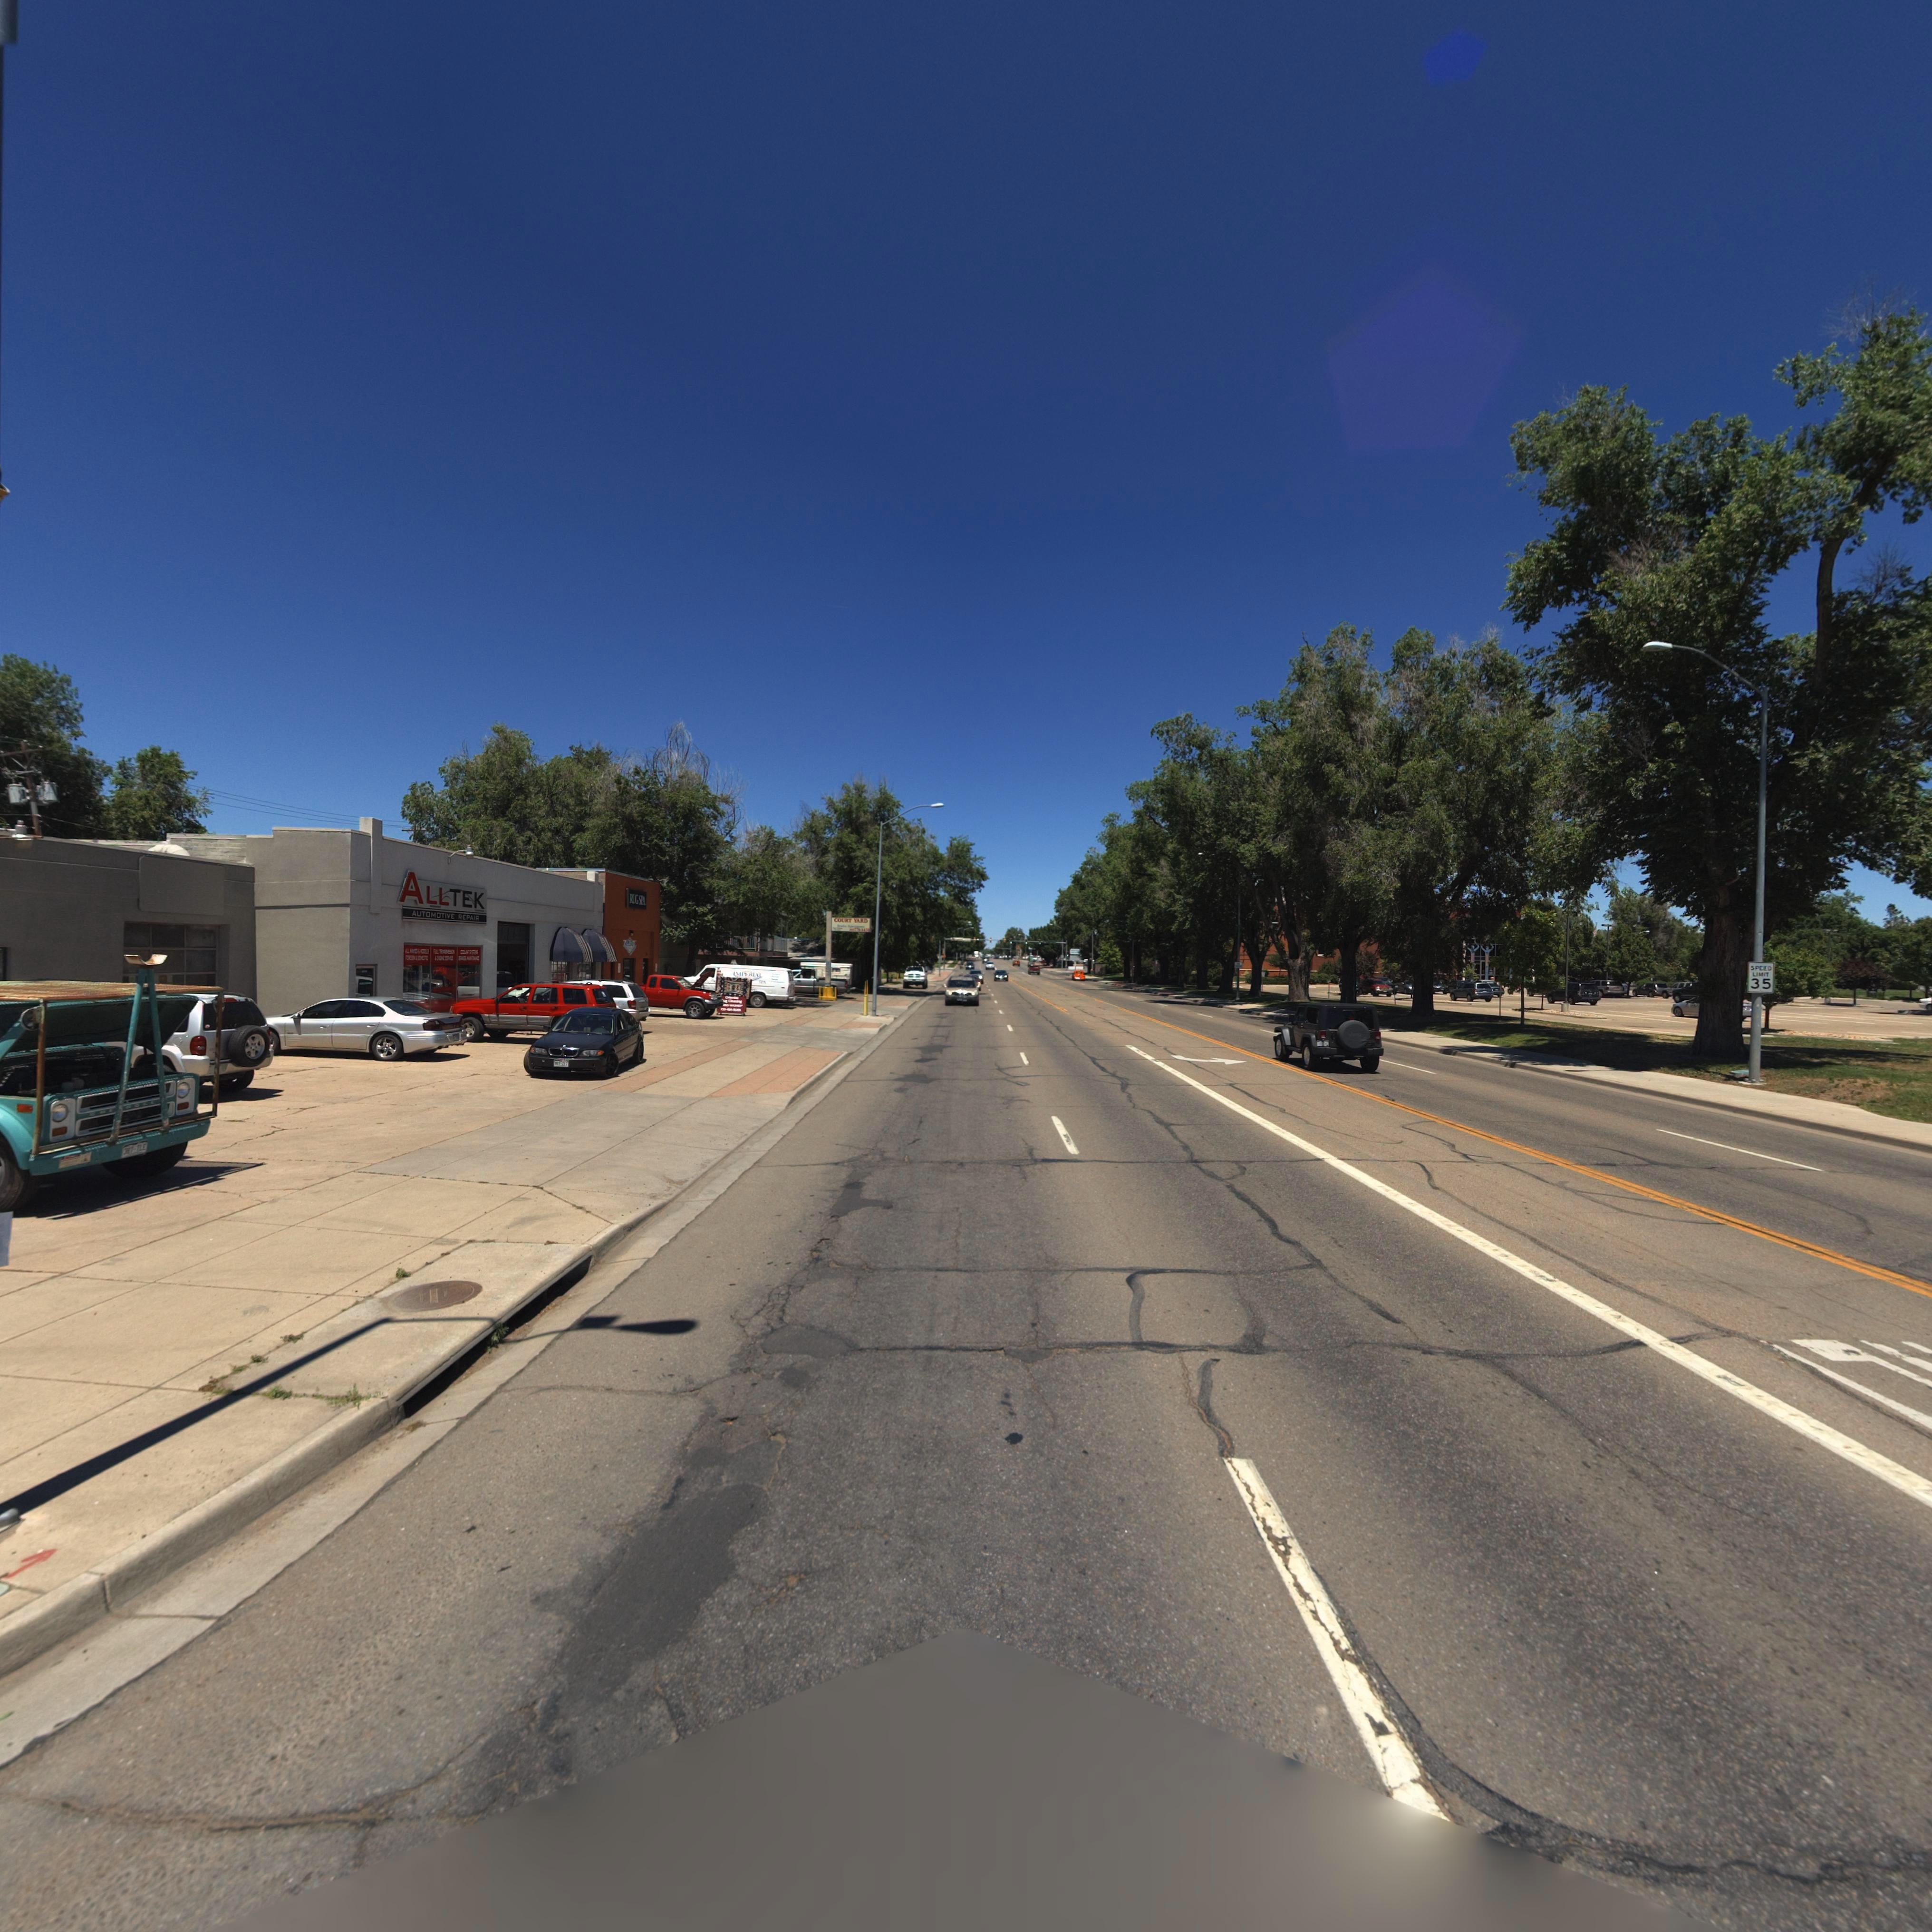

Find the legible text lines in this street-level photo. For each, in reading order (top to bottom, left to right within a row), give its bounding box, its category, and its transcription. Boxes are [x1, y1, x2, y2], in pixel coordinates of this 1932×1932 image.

[398, 871, 485, 910] BusinessName: ALLTEK
[411, 910, 479, 921] BusinessName: AUTOMOTIVE REPAIR
[833, 917, 868, 923] BusinessName: COURT YARD
[623, 940, 636, 946] BusinessName: IM*****L